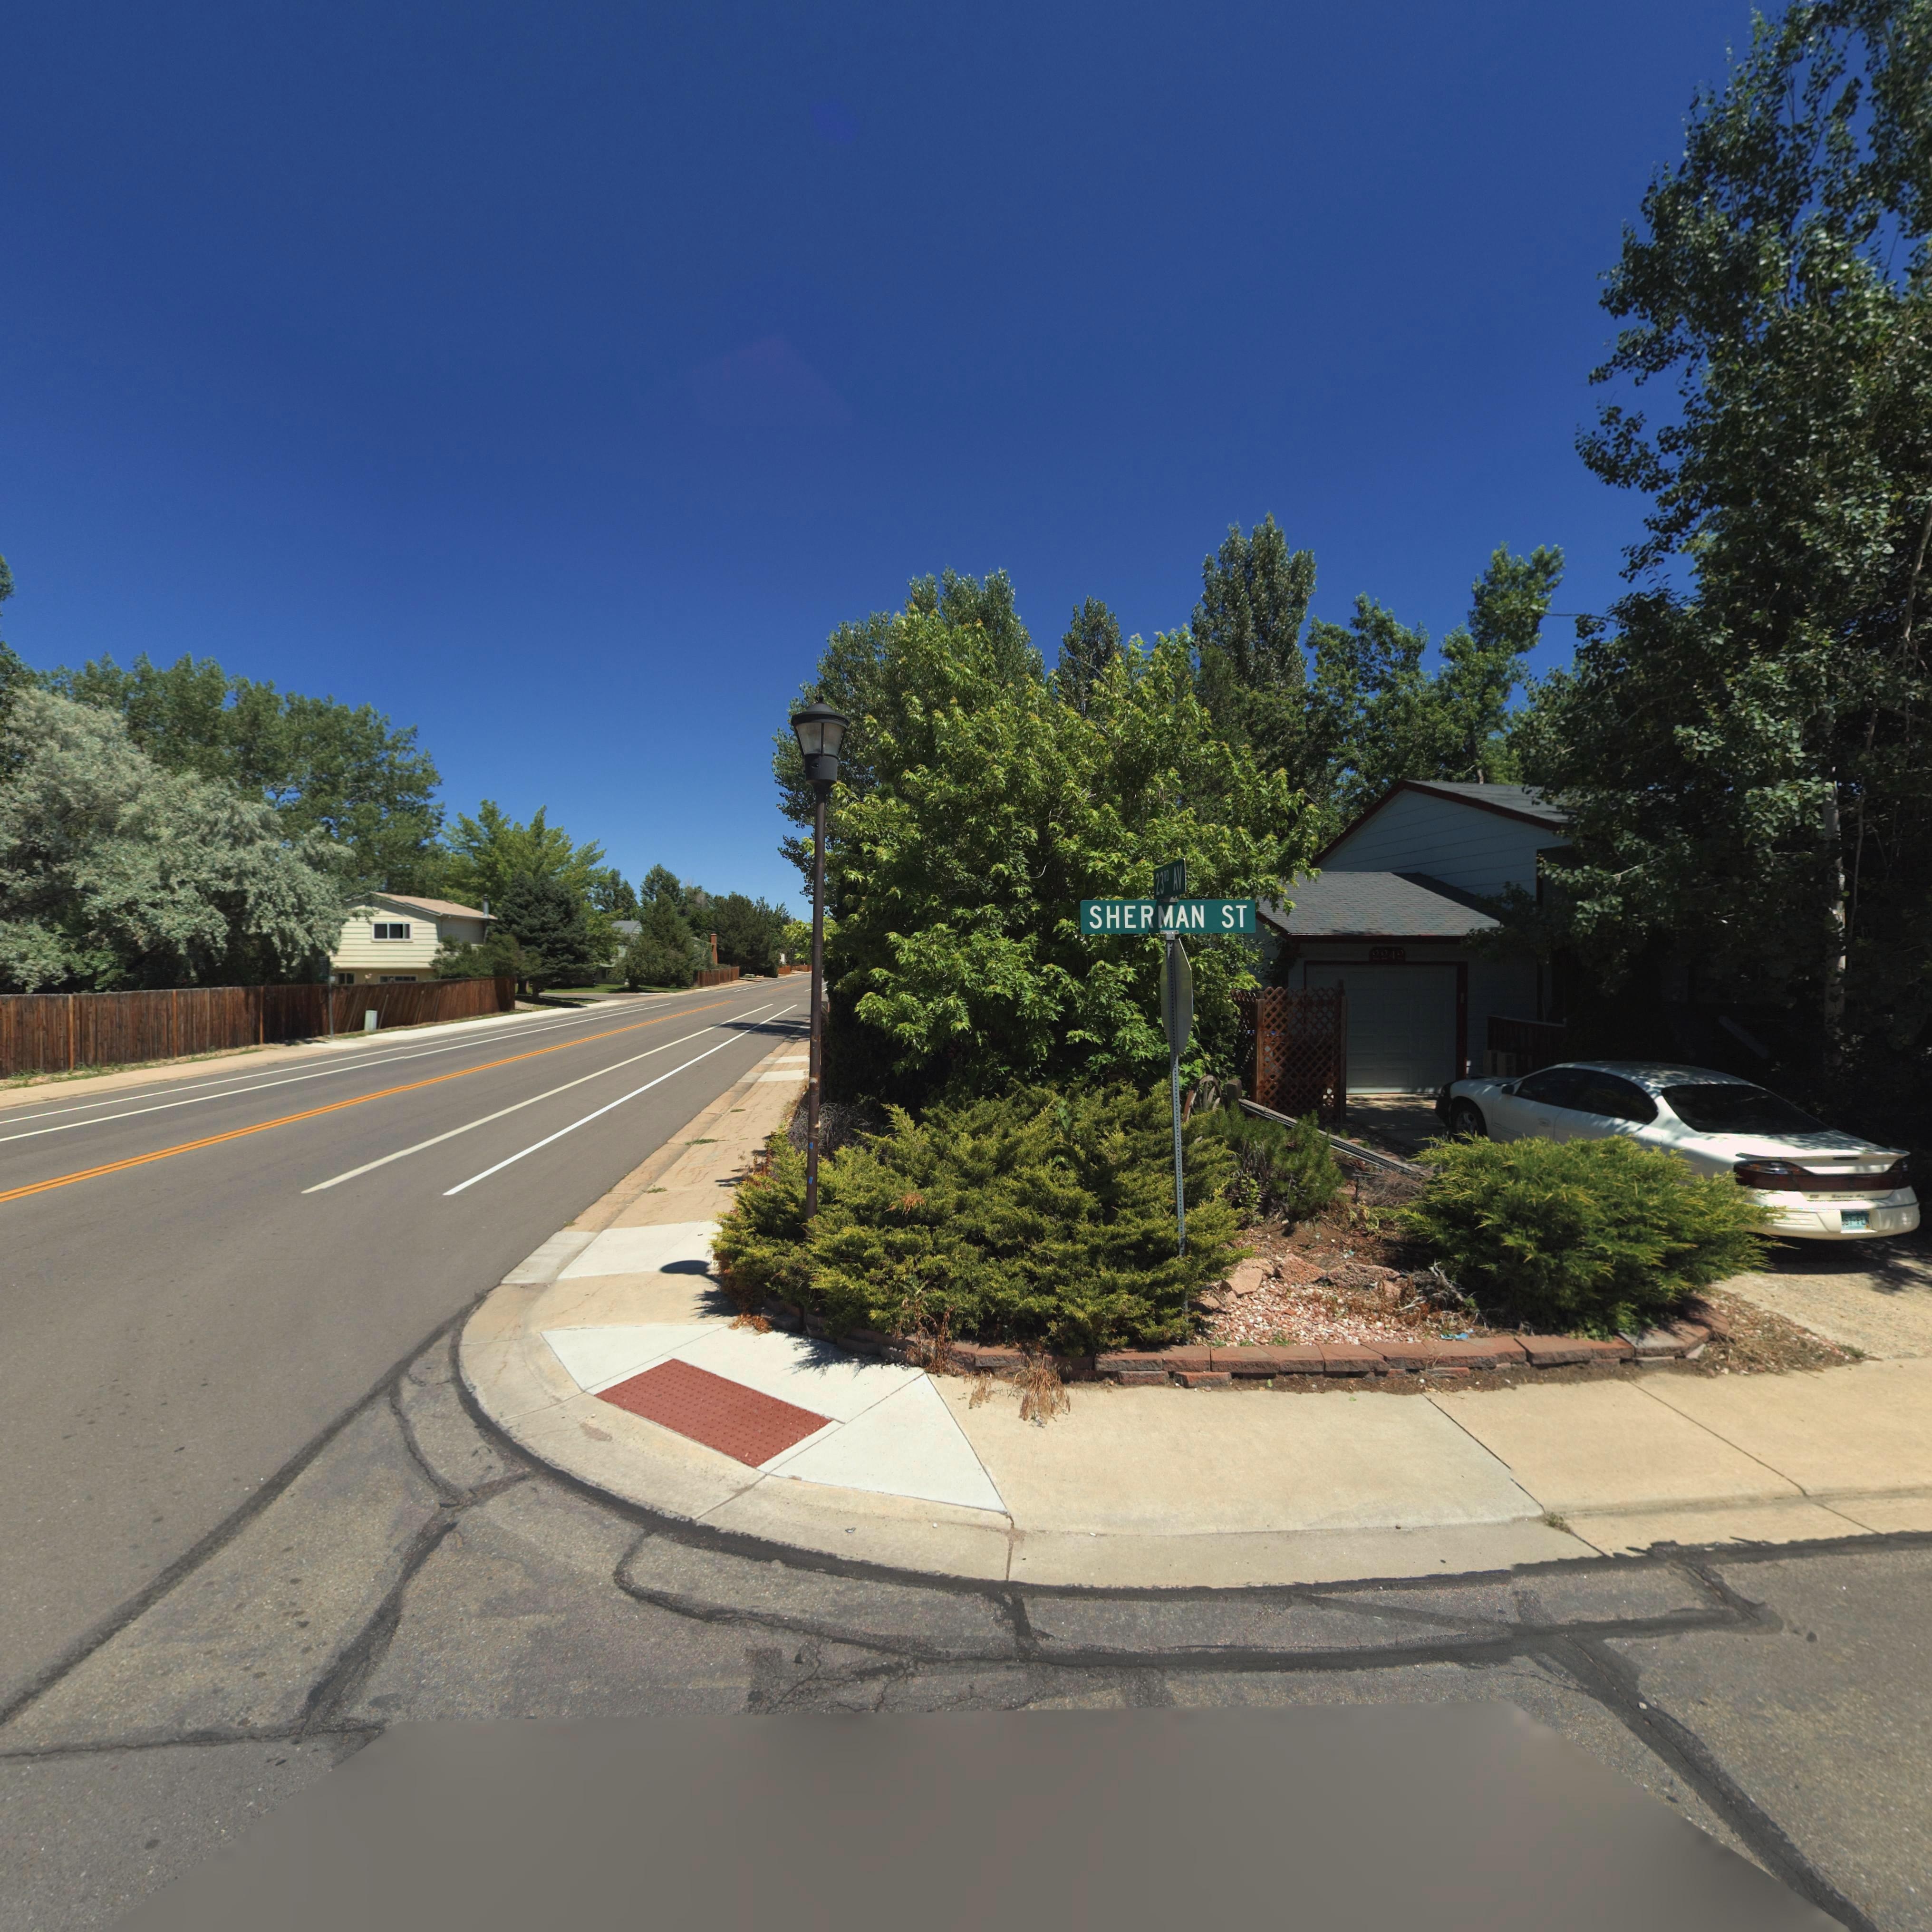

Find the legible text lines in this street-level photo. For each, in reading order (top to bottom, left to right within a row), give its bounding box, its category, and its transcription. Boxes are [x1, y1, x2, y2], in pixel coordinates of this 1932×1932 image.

[1154, 863, 1183, 895] StreetName: 23RD AV
[1088, 904, 1248, 930] StreetName: SHERMAN ST
[1372, 948, 1404, 960] StreetNumber: 2212